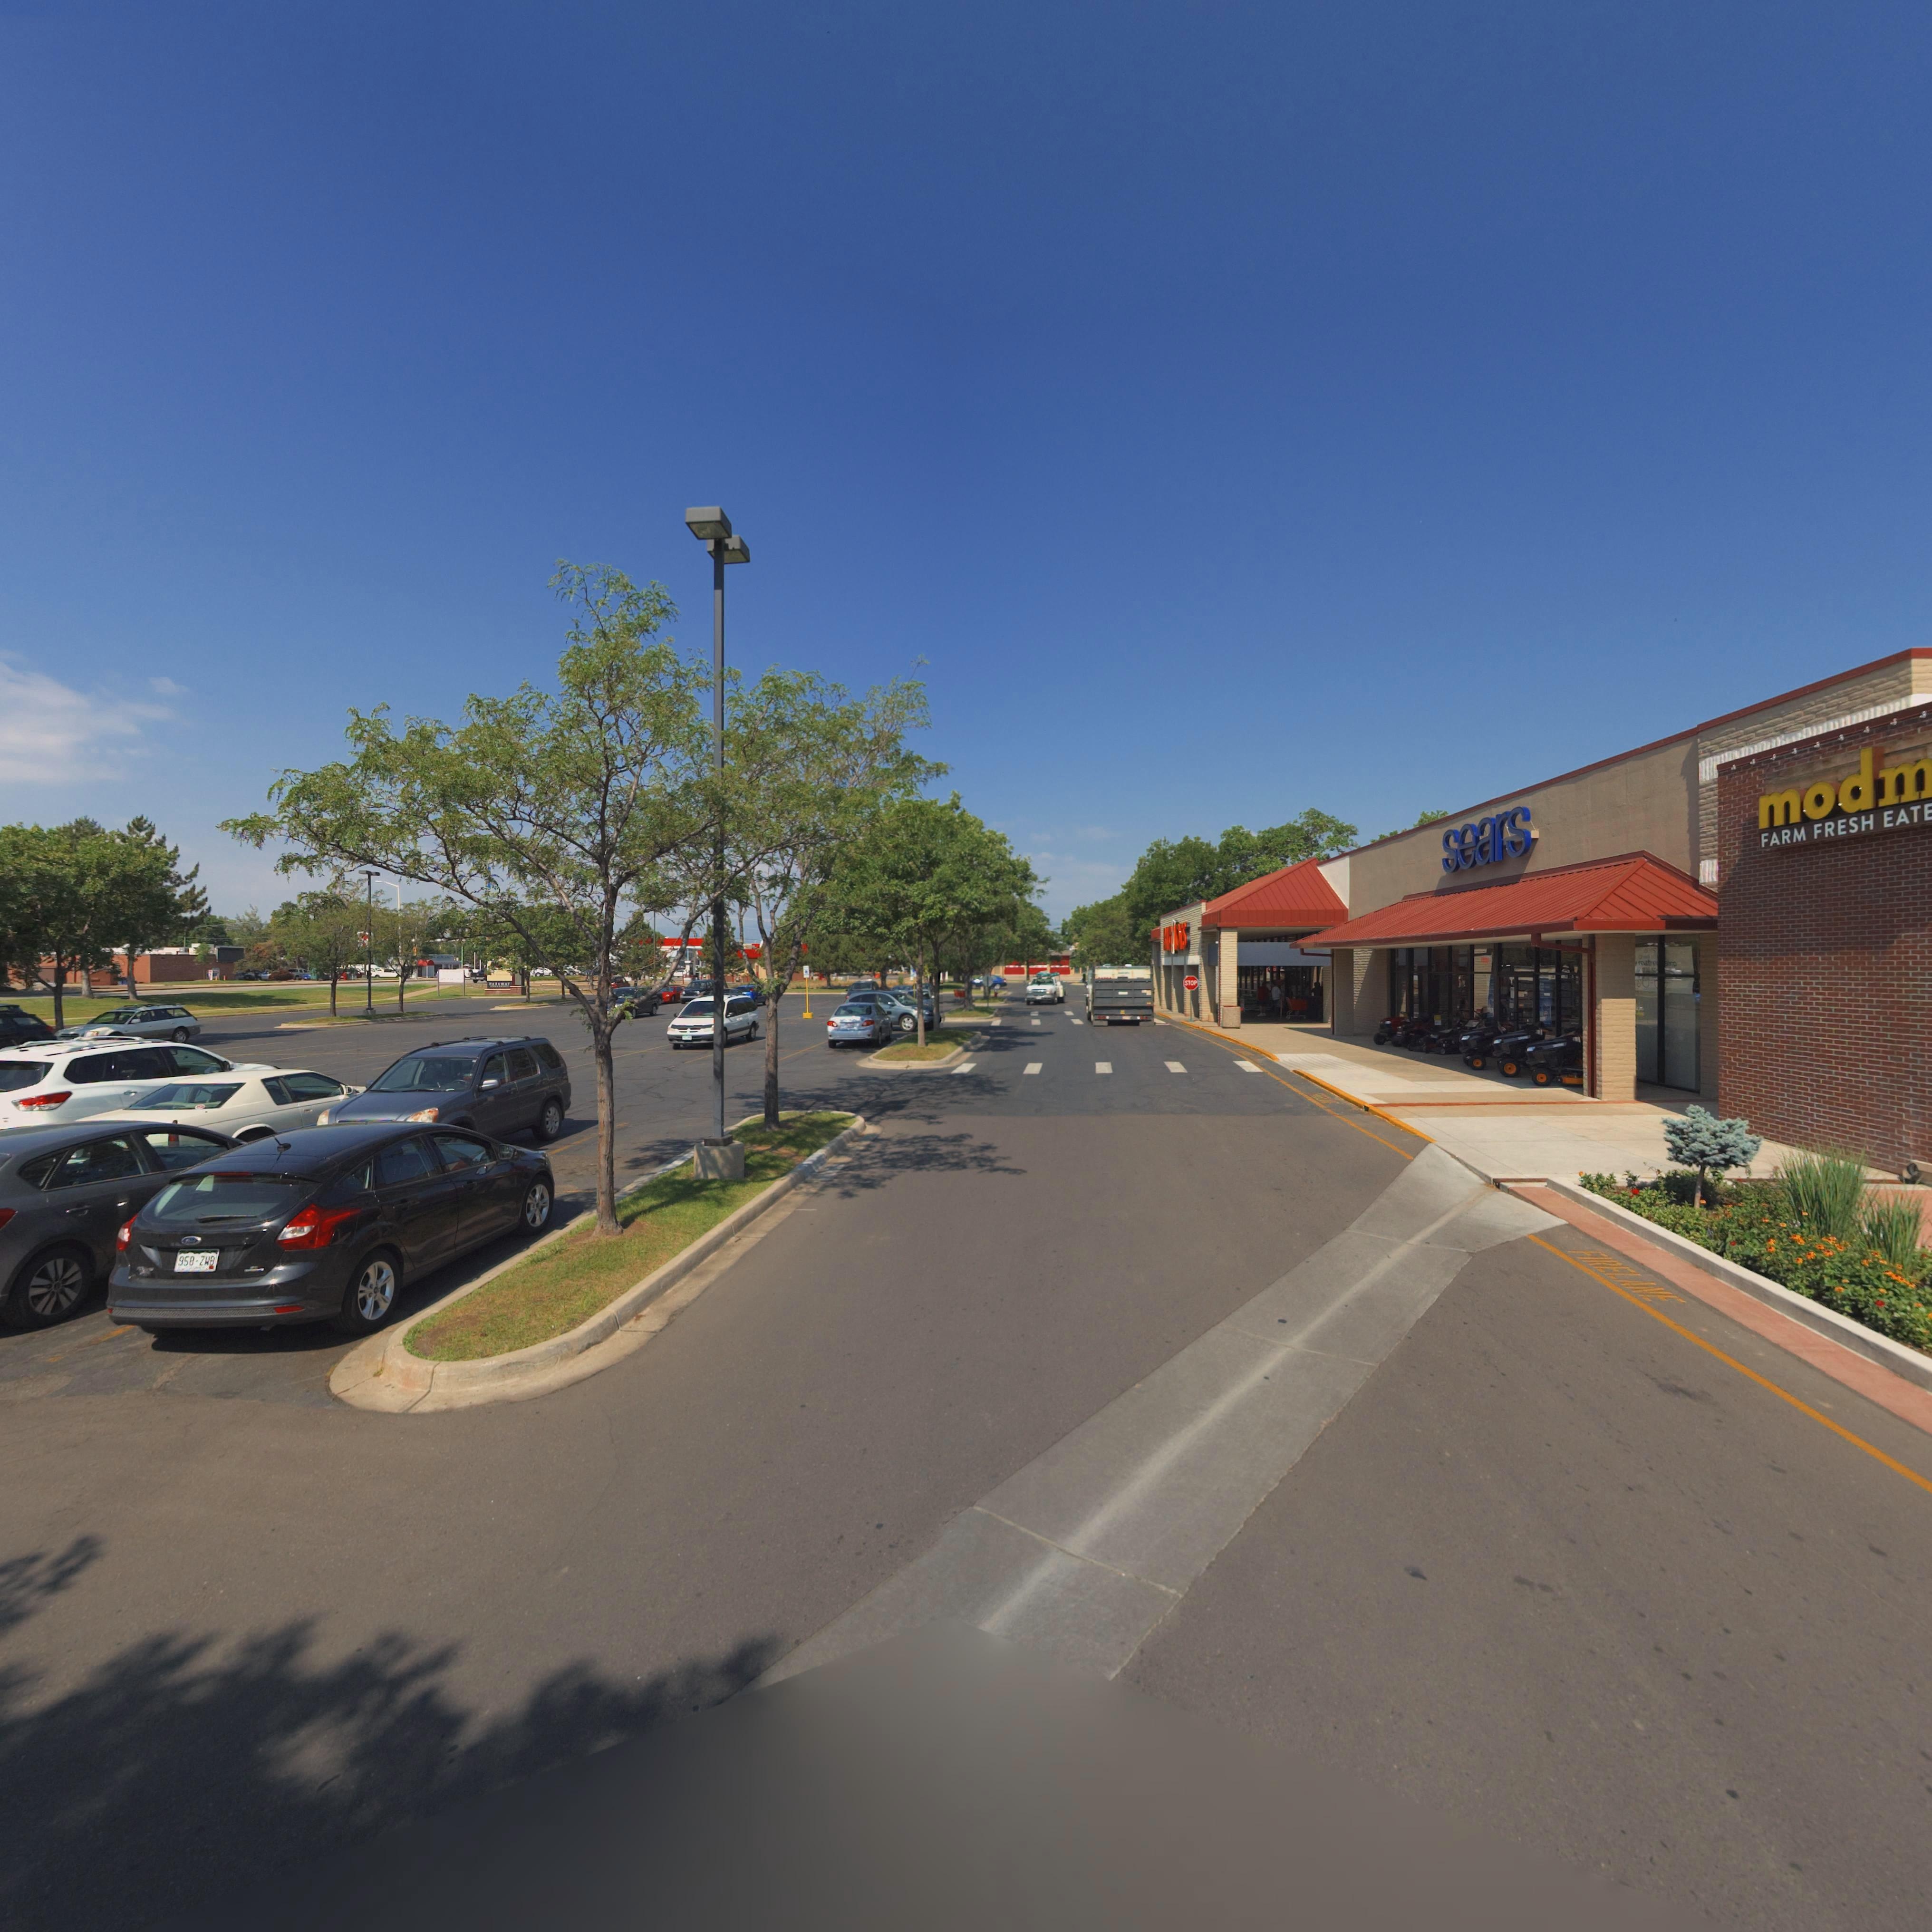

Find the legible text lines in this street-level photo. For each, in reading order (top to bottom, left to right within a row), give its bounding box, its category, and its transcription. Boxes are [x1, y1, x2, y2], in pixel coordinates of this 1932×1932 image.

[1758, 744, 1932, 830] BusinessName: modm
[1441, 805, 1532, 874] BusinessName: sears
[1760, 802, 1932, 848] BusinessName: FARM FRESH EATE
[359, 933, 368, 947] BusinessName: 7
[1163, 921, 1188, 954] BusinessName: *IG****S